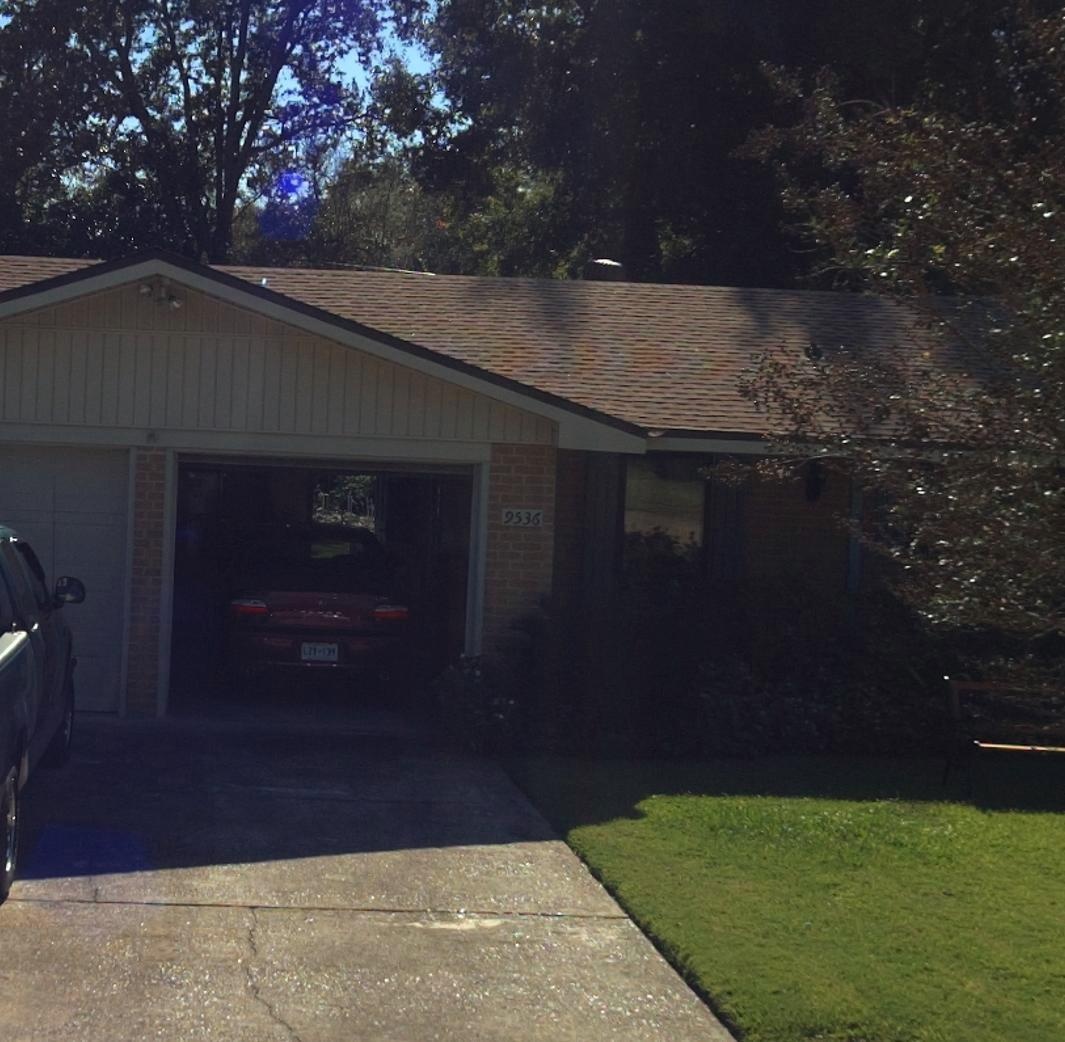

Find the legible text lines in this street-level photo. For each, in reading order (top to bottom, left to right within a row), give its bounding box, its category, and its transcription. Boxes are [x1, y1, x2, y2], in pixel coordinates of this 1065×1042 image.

[503, 510, 542, 526] StreetNumber: 9536
[303, 645, 336, 657] None: LZY 139